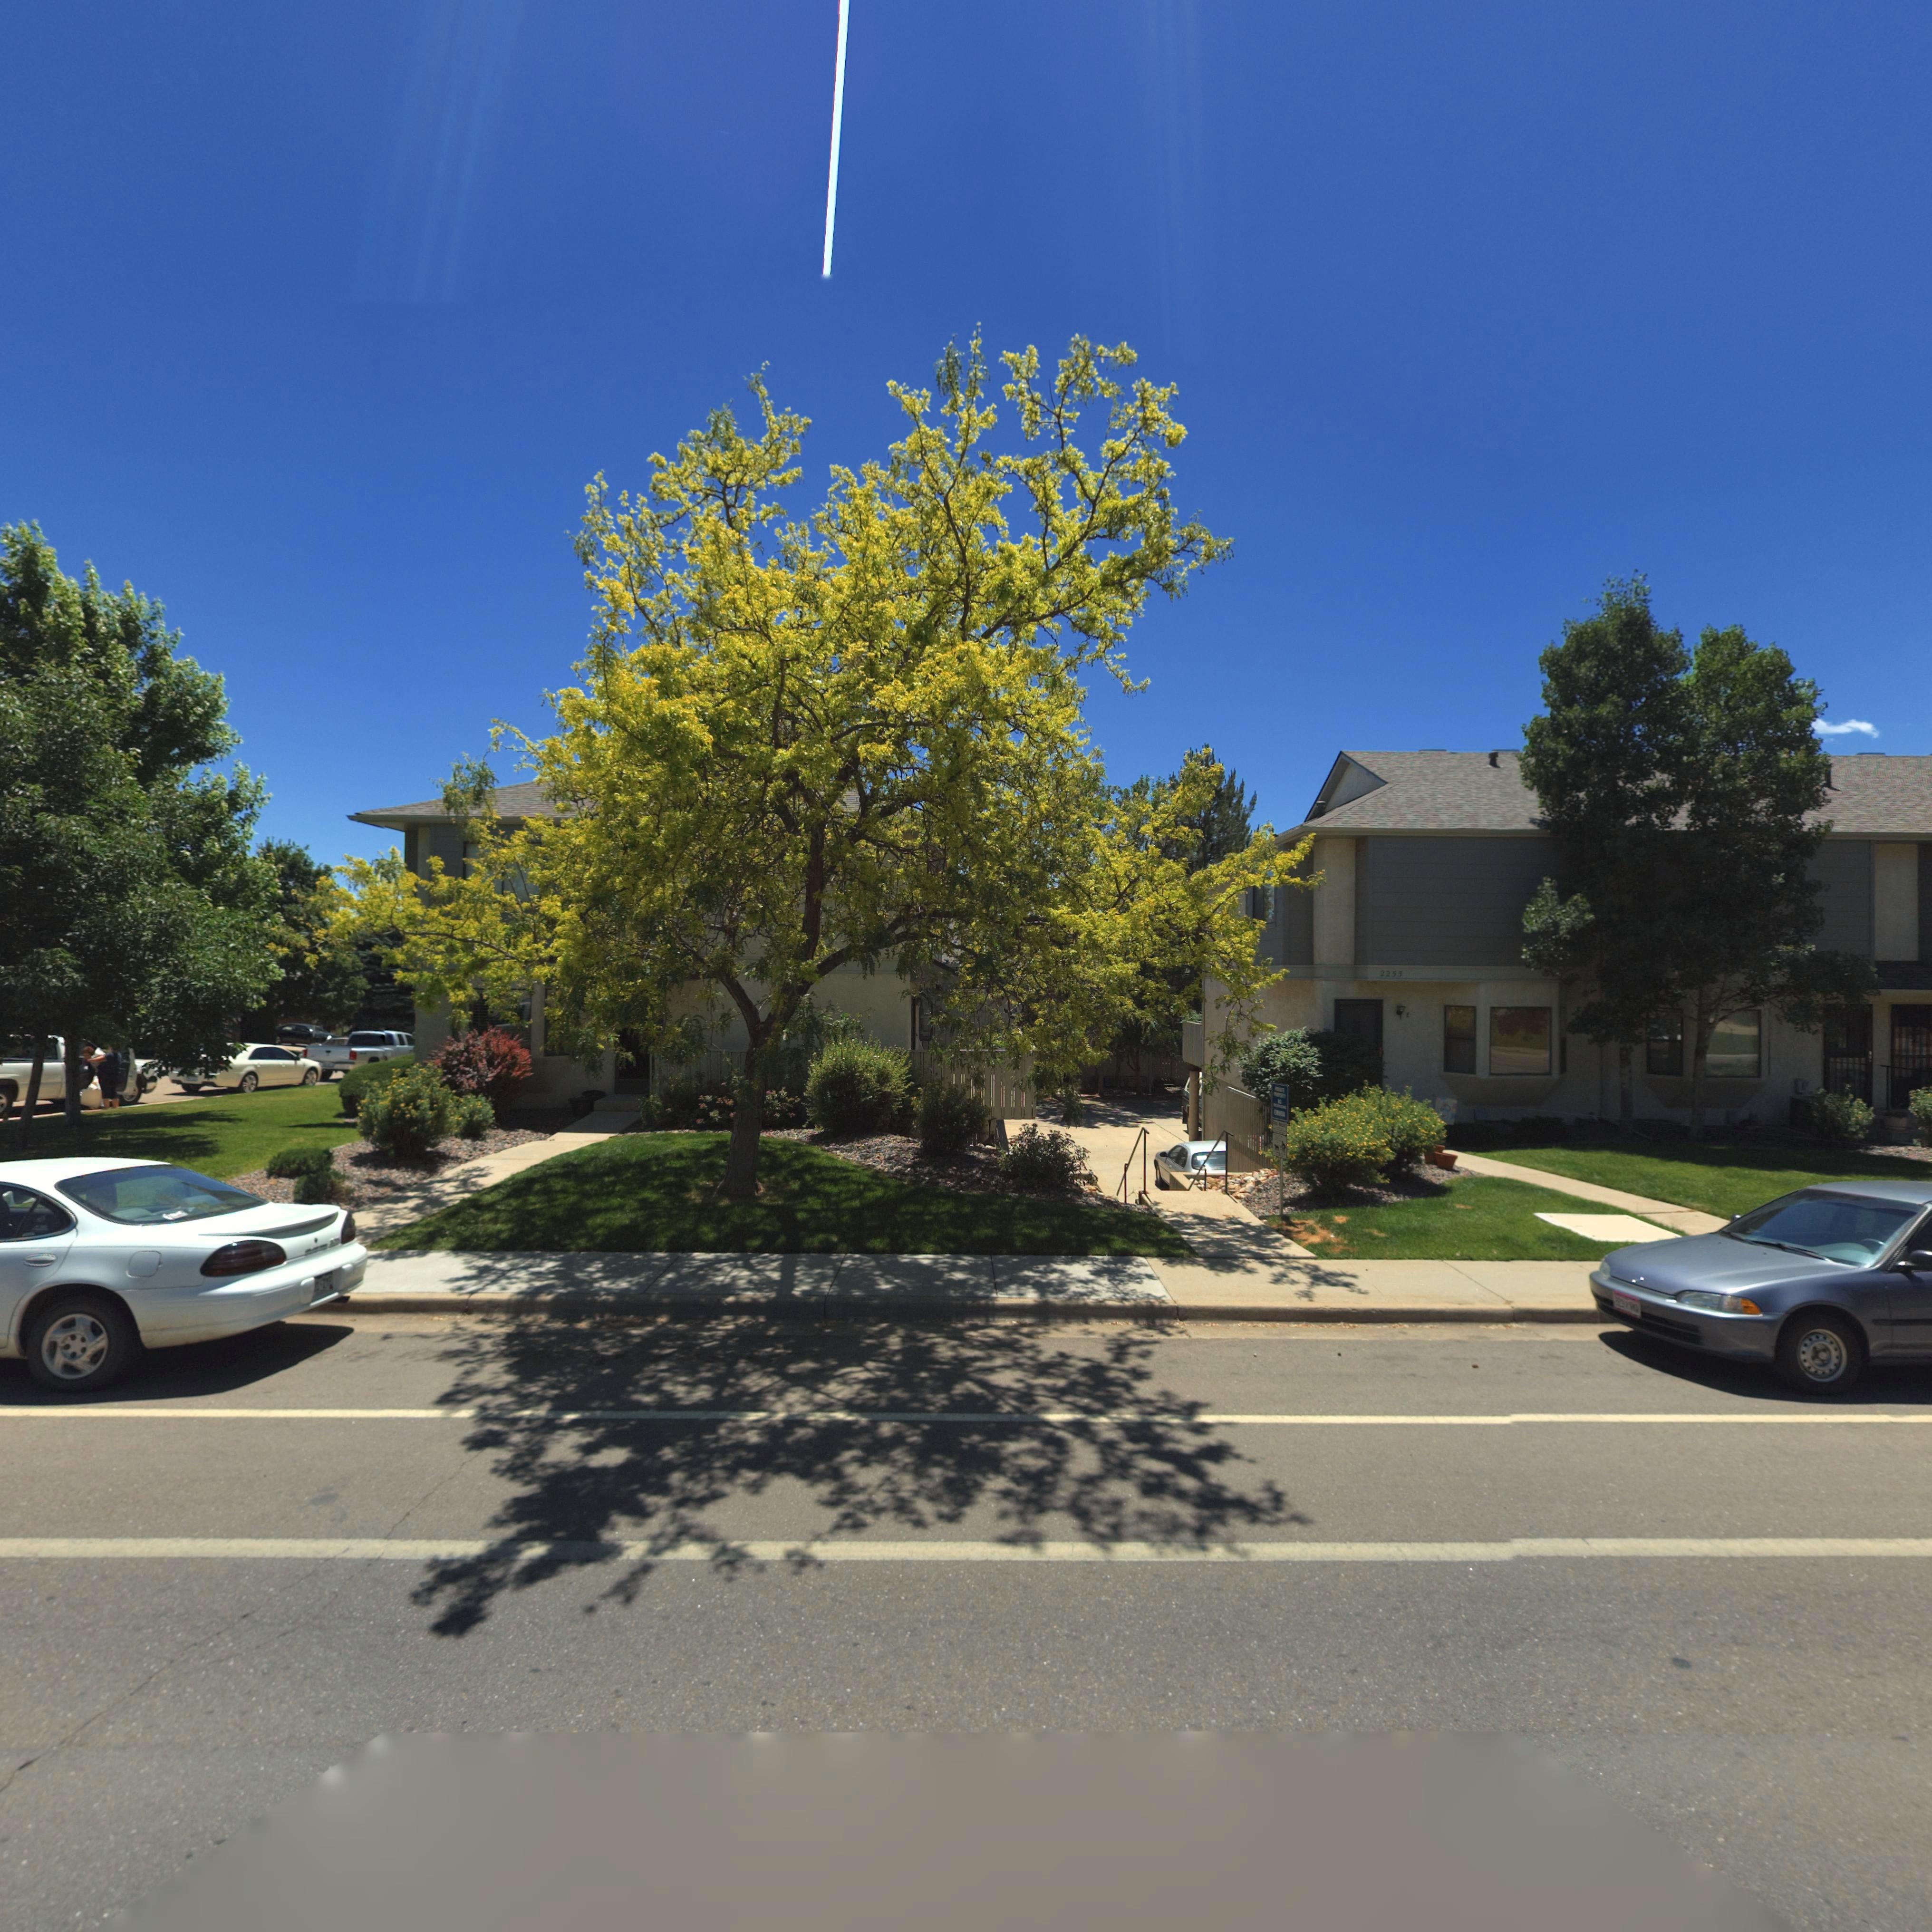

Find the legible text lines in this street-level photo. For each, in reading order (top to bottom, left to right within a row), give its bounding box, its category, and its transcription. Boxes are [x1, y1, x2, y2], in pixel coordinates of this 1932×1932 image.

[1380, 969, 1403, 977] StreetNumber: 2255